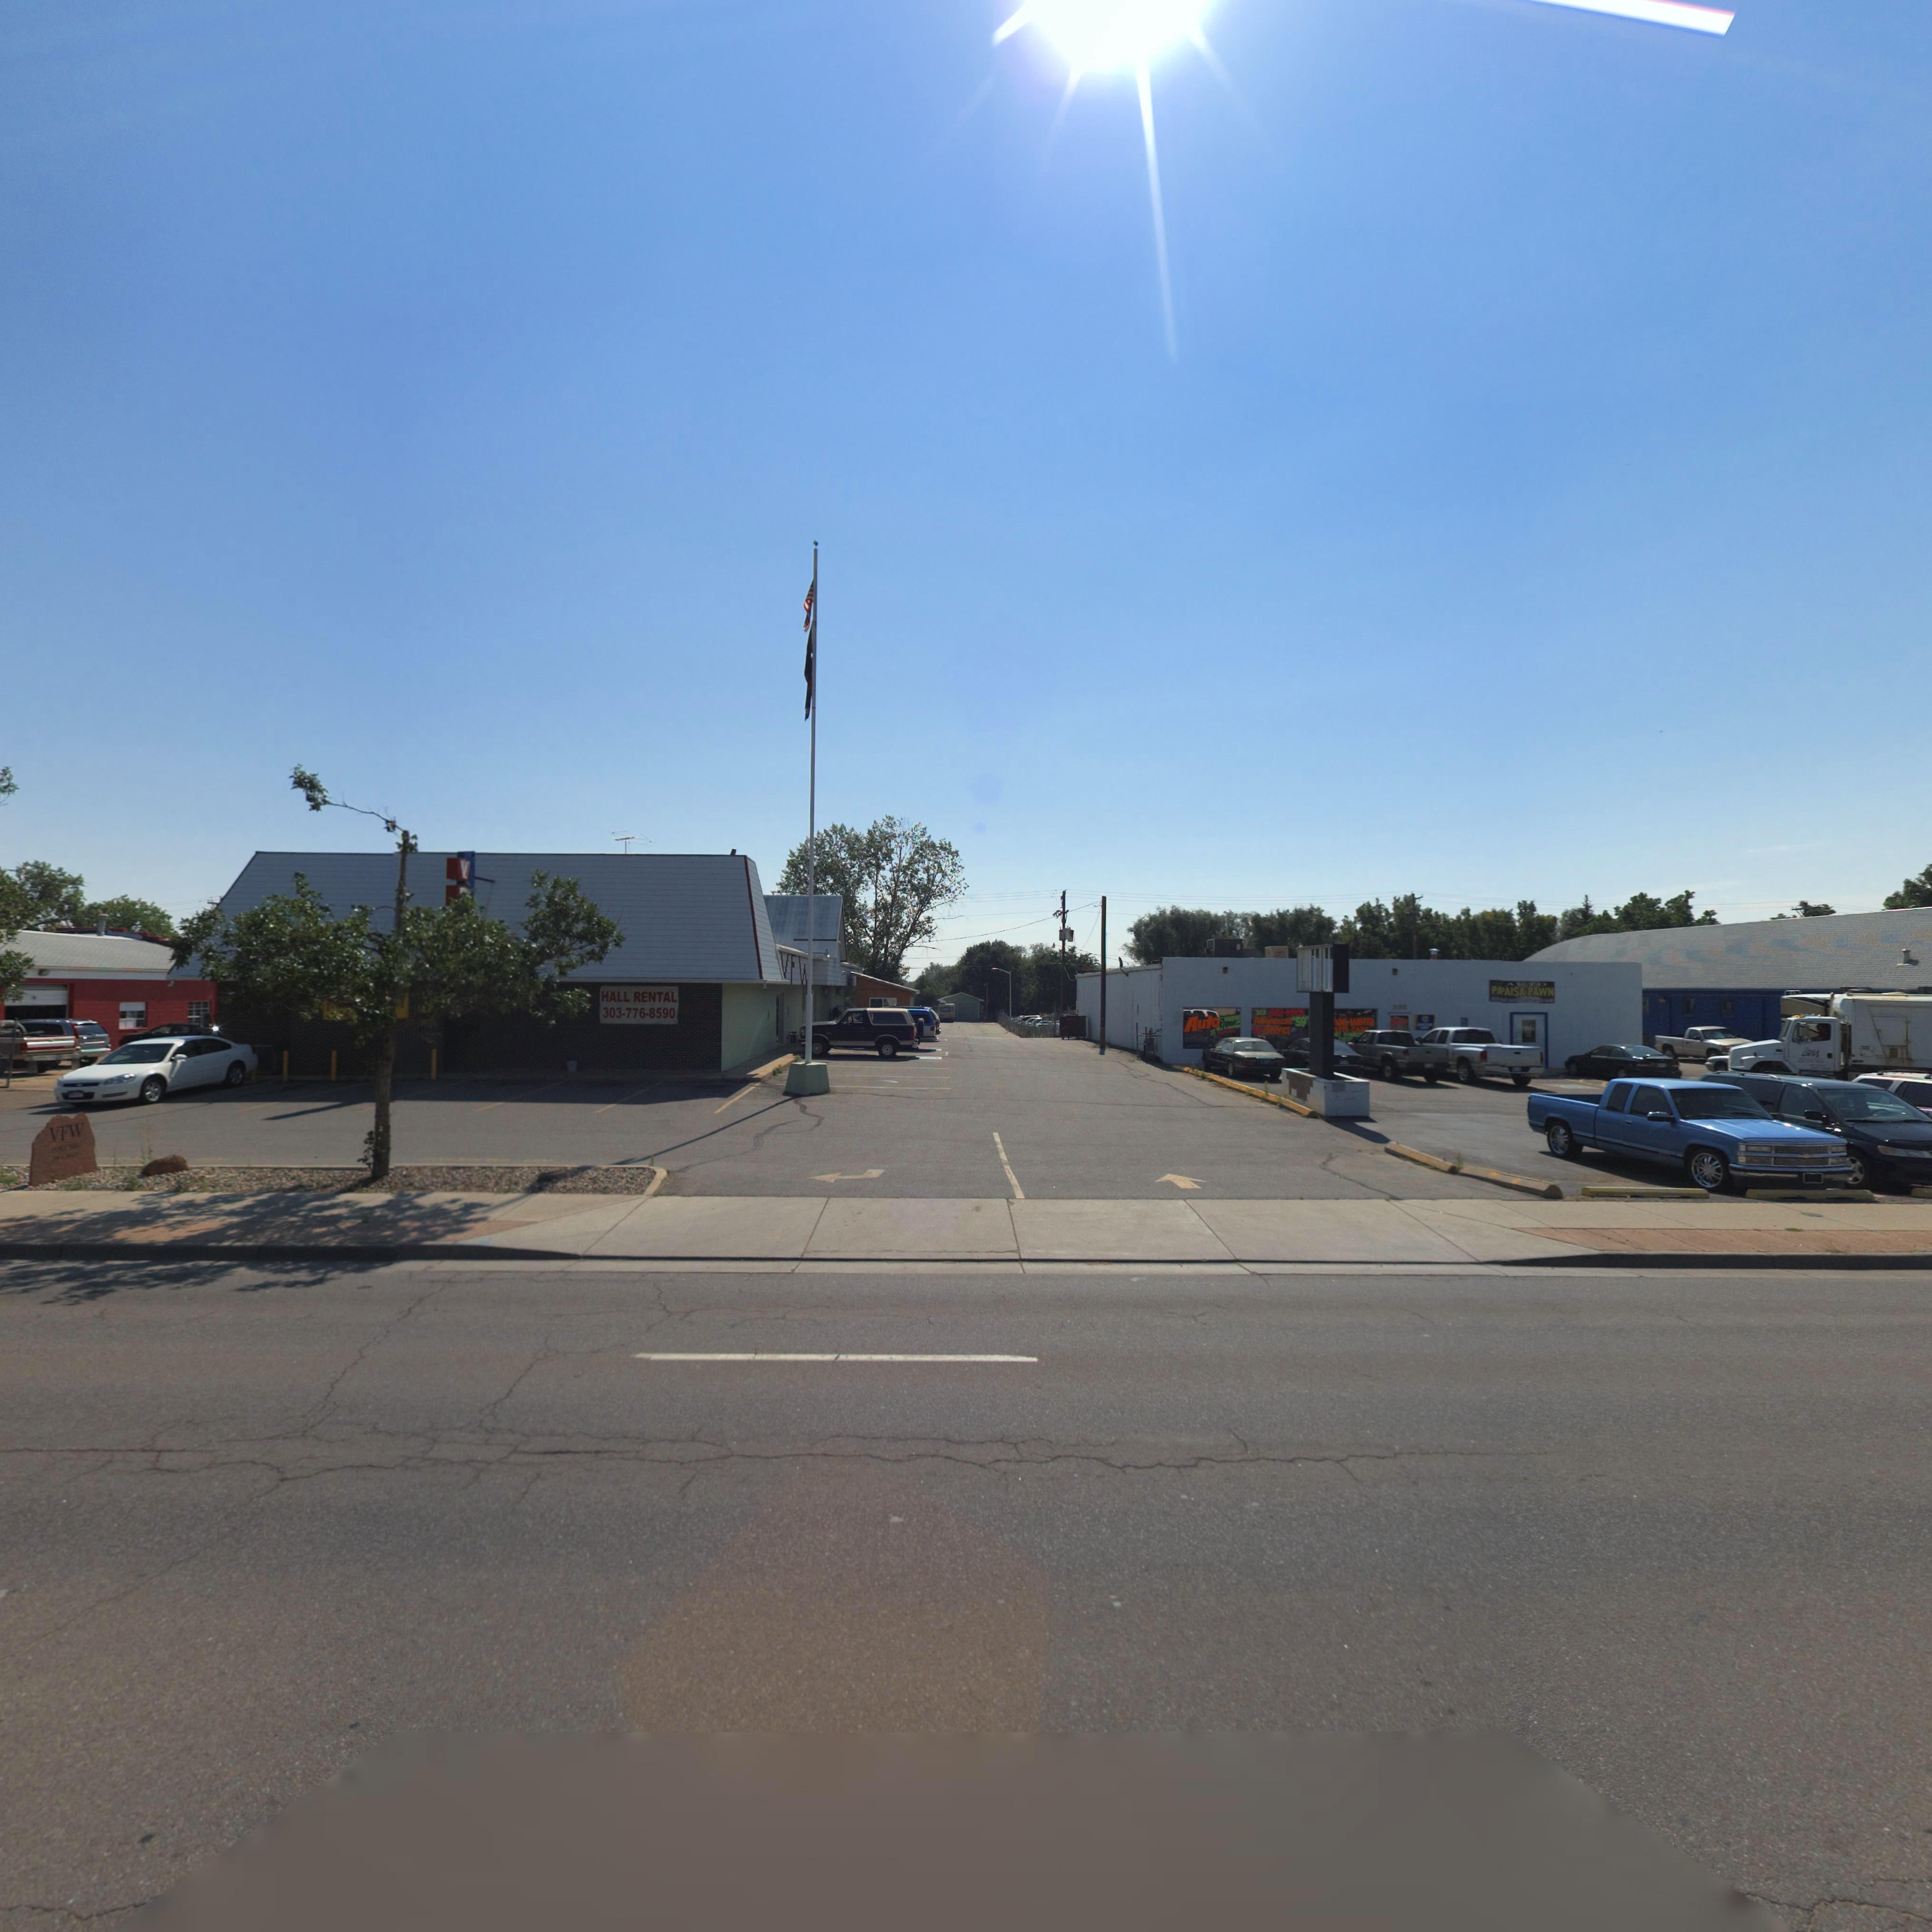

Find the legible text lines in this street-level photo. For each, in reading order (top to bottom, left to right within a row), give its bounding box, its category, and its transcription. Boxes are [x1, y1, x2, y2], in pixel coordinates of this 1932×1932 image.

[779, 952, 806, 984] BusinessName: VFW
[1491, 985, 1555, 996] BusinessName: P*AISA PAWN
[48, 1121, 86, 1143] BusinessName: VFW